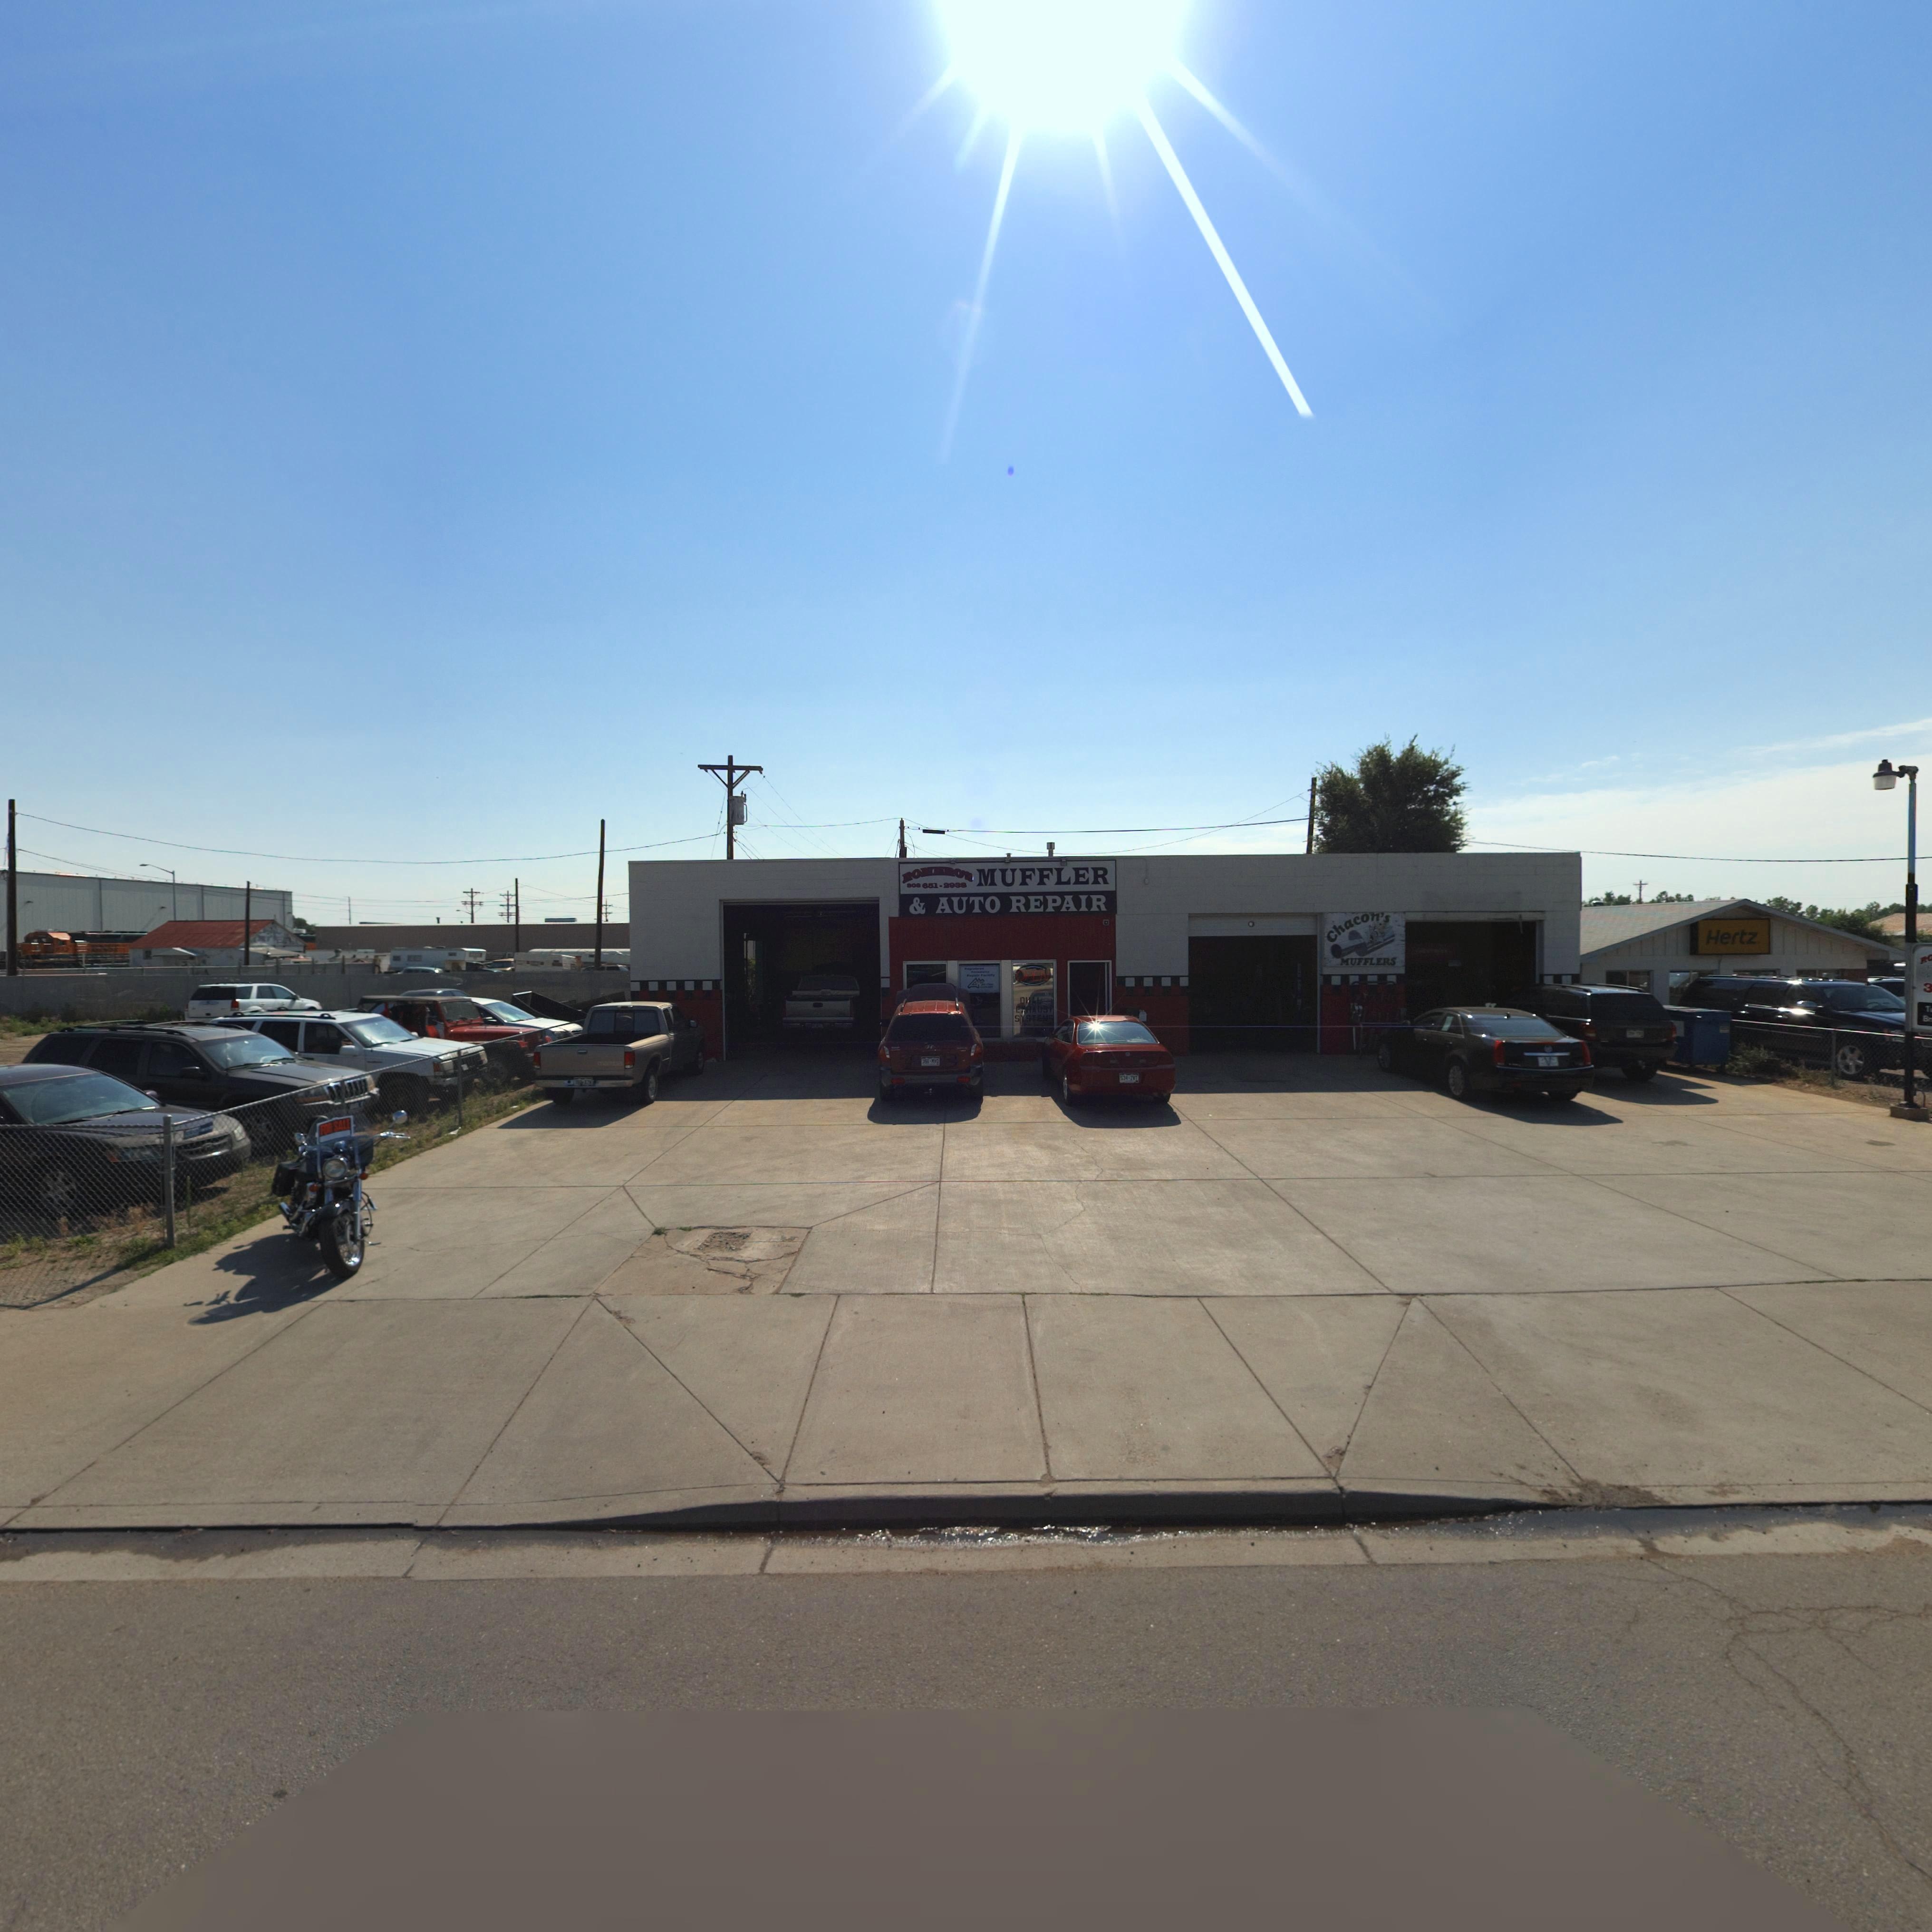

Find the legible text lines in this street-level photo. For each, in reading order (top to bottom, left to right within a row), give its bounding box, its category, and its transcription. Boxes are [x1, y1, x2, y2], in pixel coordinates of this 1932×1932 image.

[901, 866, 973, 884] BusinessName: ROMERO'S
[976, 866, 1109, 887] BusinessName: MUFFLER
[908, 894, 1108, 915] BusinessName: & AUTO REPAIR
[1705, 928, 1759, 945] BusinessName: Hertz